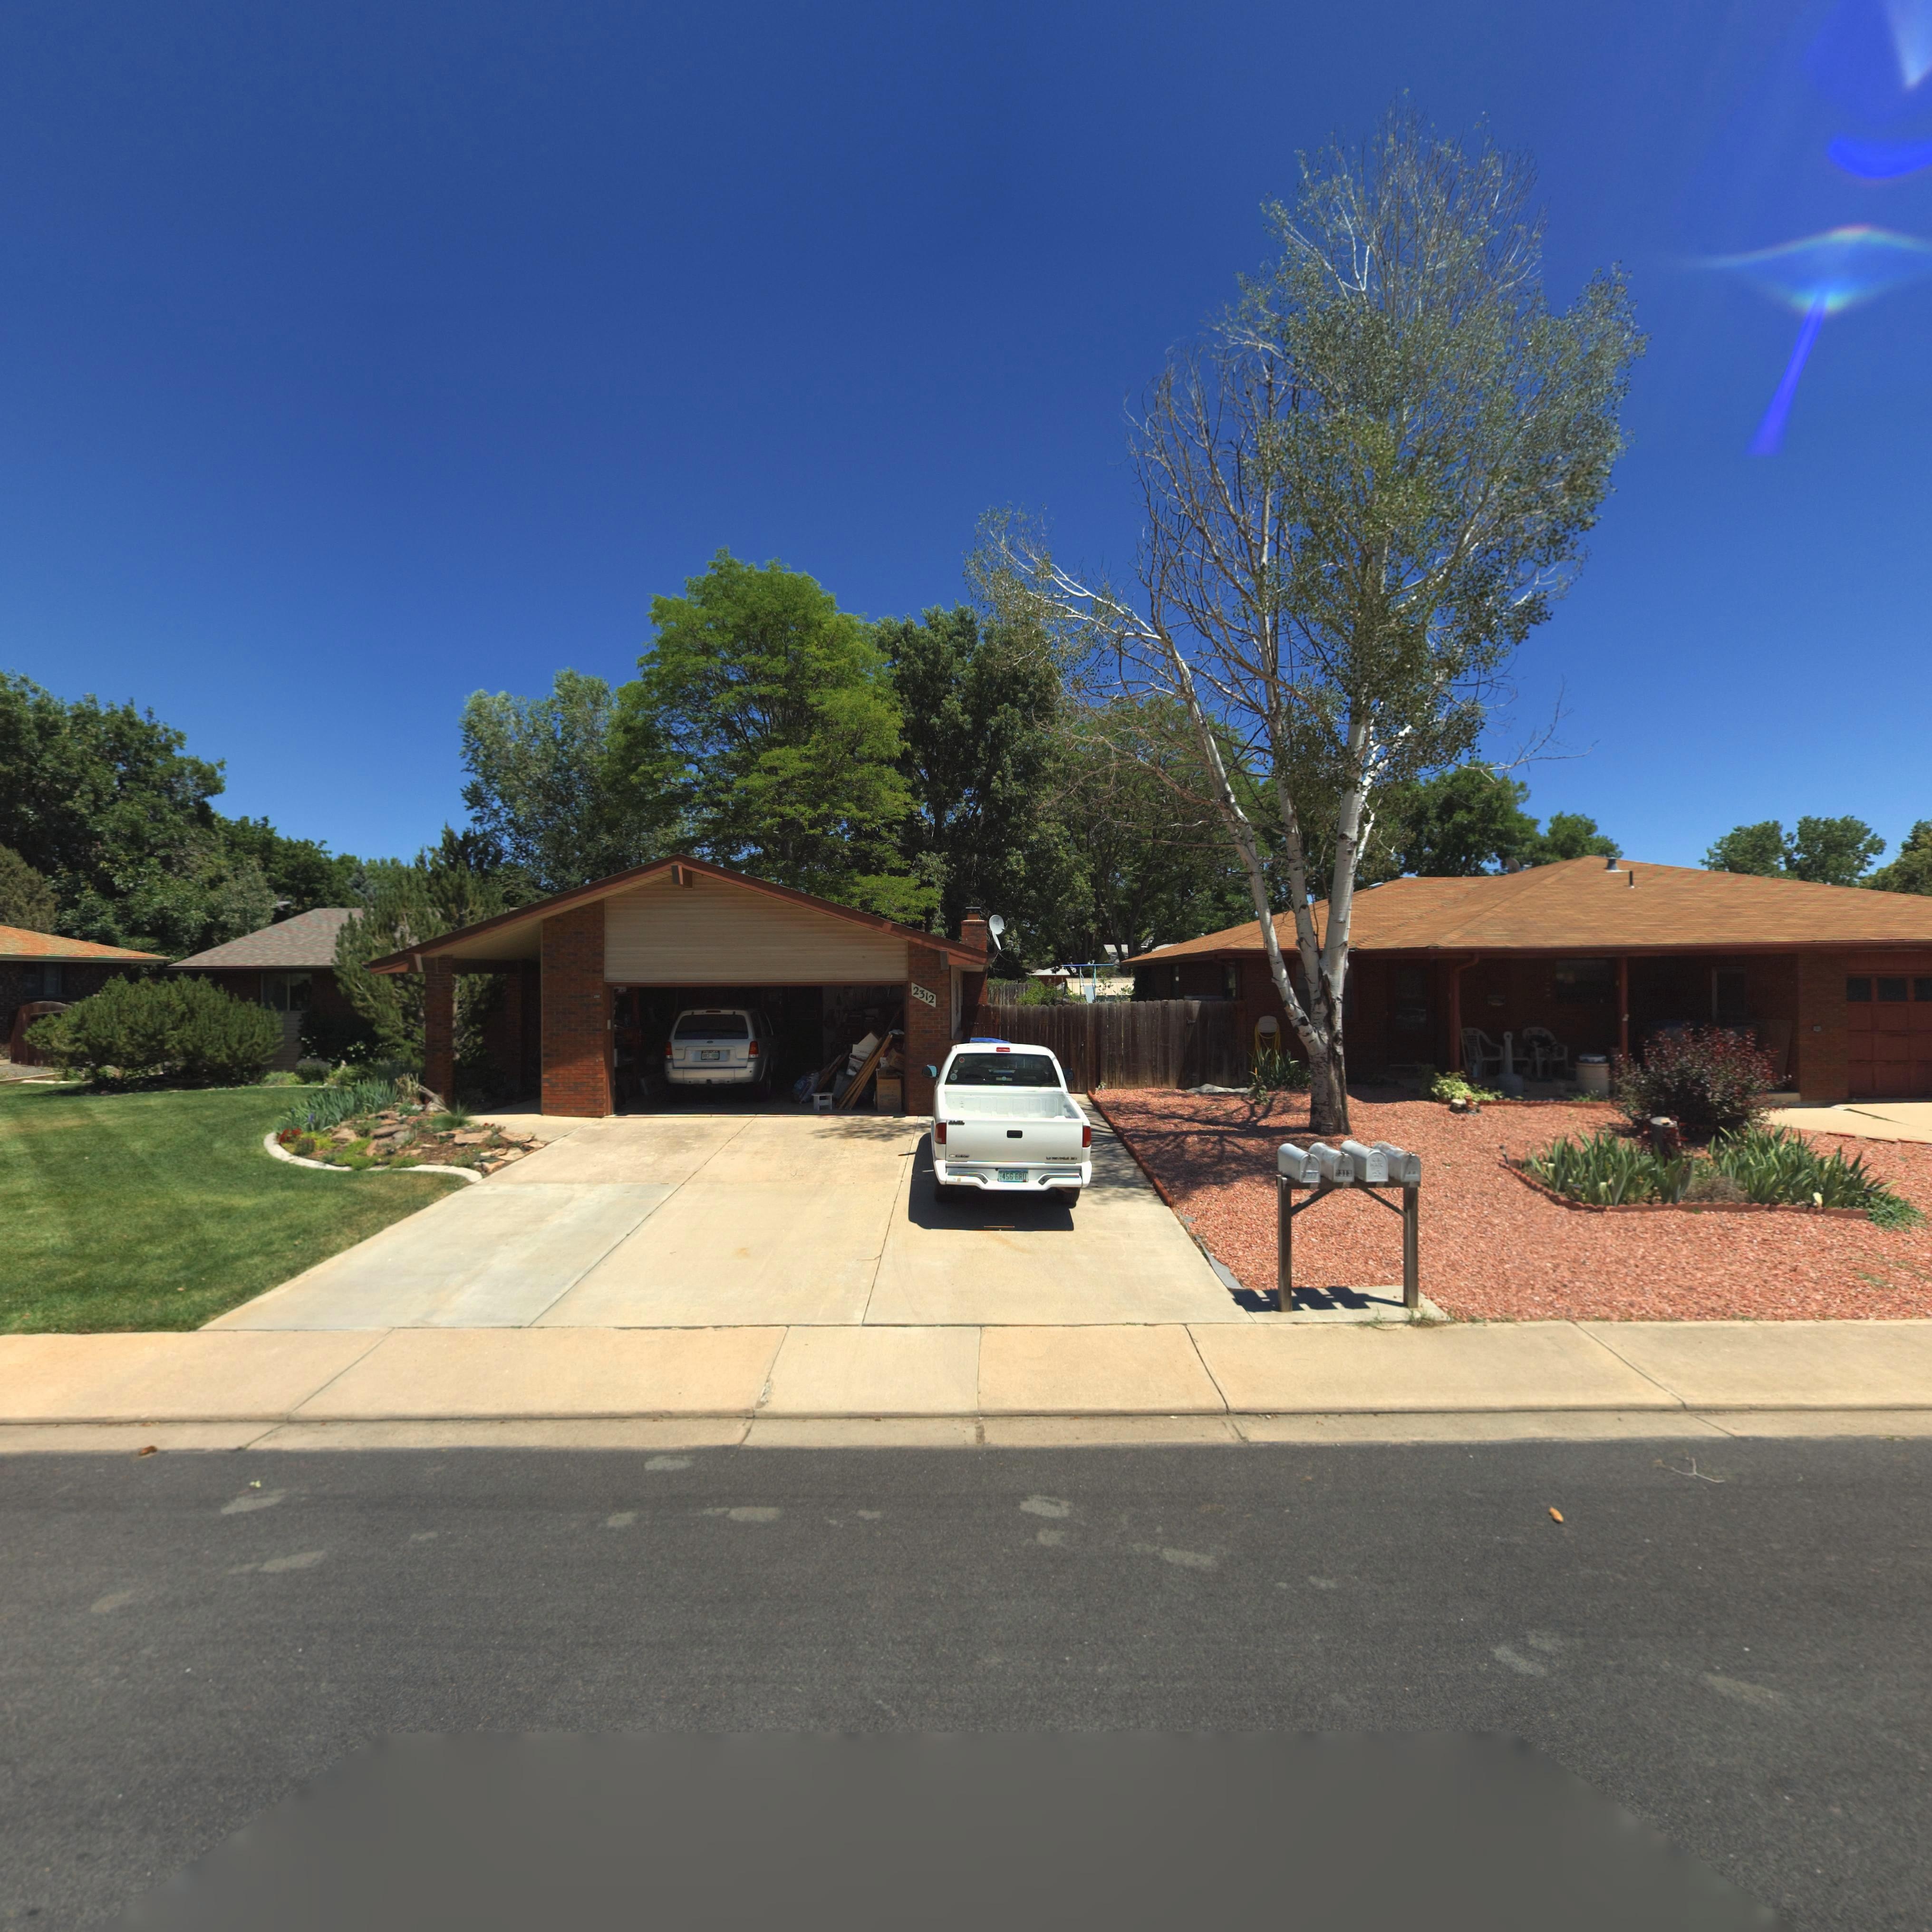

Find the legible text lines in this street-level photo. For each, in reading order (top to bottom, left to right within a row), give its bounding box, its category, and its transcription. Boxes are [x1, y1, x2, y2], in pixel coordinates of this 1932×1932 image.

[913, 986, 934, 1003] StreetNumber: 2312
[1335, 1169, 1352, 1177] StreetNumber: 2313